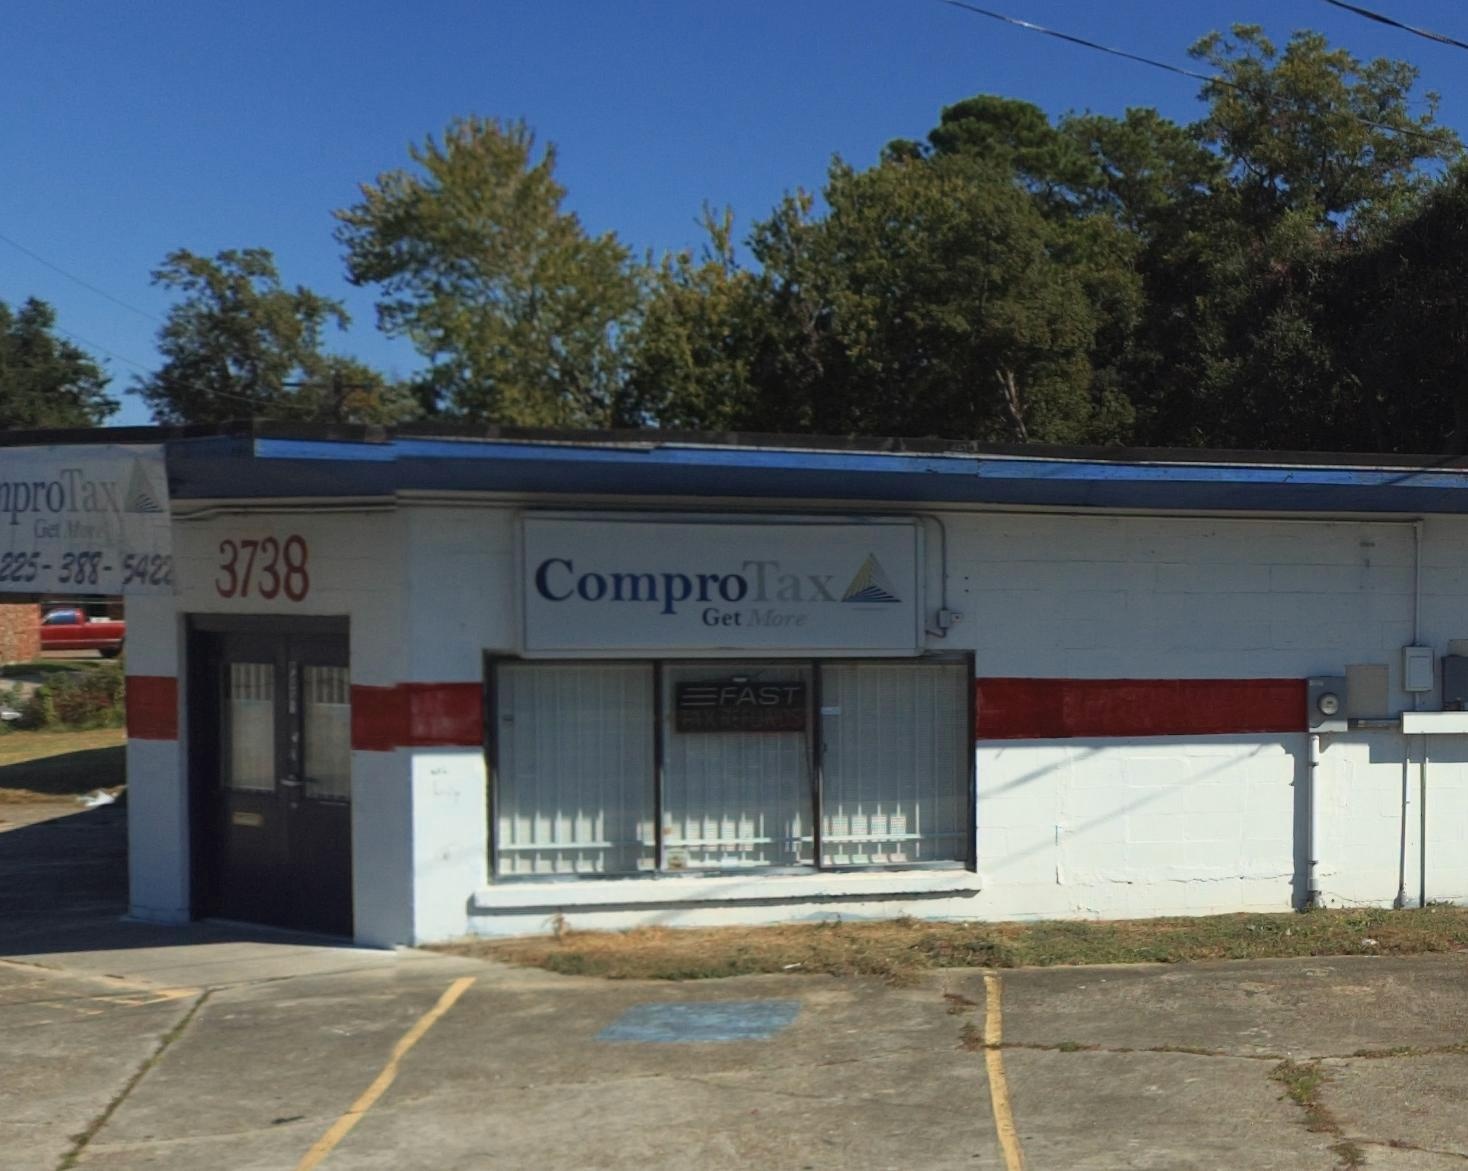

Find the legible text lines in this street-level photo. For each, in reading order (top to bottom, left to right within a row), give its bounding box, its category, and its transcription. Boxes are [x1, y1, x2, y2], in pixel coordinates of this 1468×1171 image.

[6, 465, 123, 529] BusinessName: proTax
[30, 515, 107, 540] None: Get More
[6, 548, 179, 590] None: 25-388-5422
[208, 529, 316, 606] StreetNumber: 3738
[532, 554, 840, 618] BusinessName: ComproTax
[698, 604, 811, 628] None: Get more
[715, 683, 804, 709] None: FAST
[676, 706, 805, 730] None: TAXREFUNDS